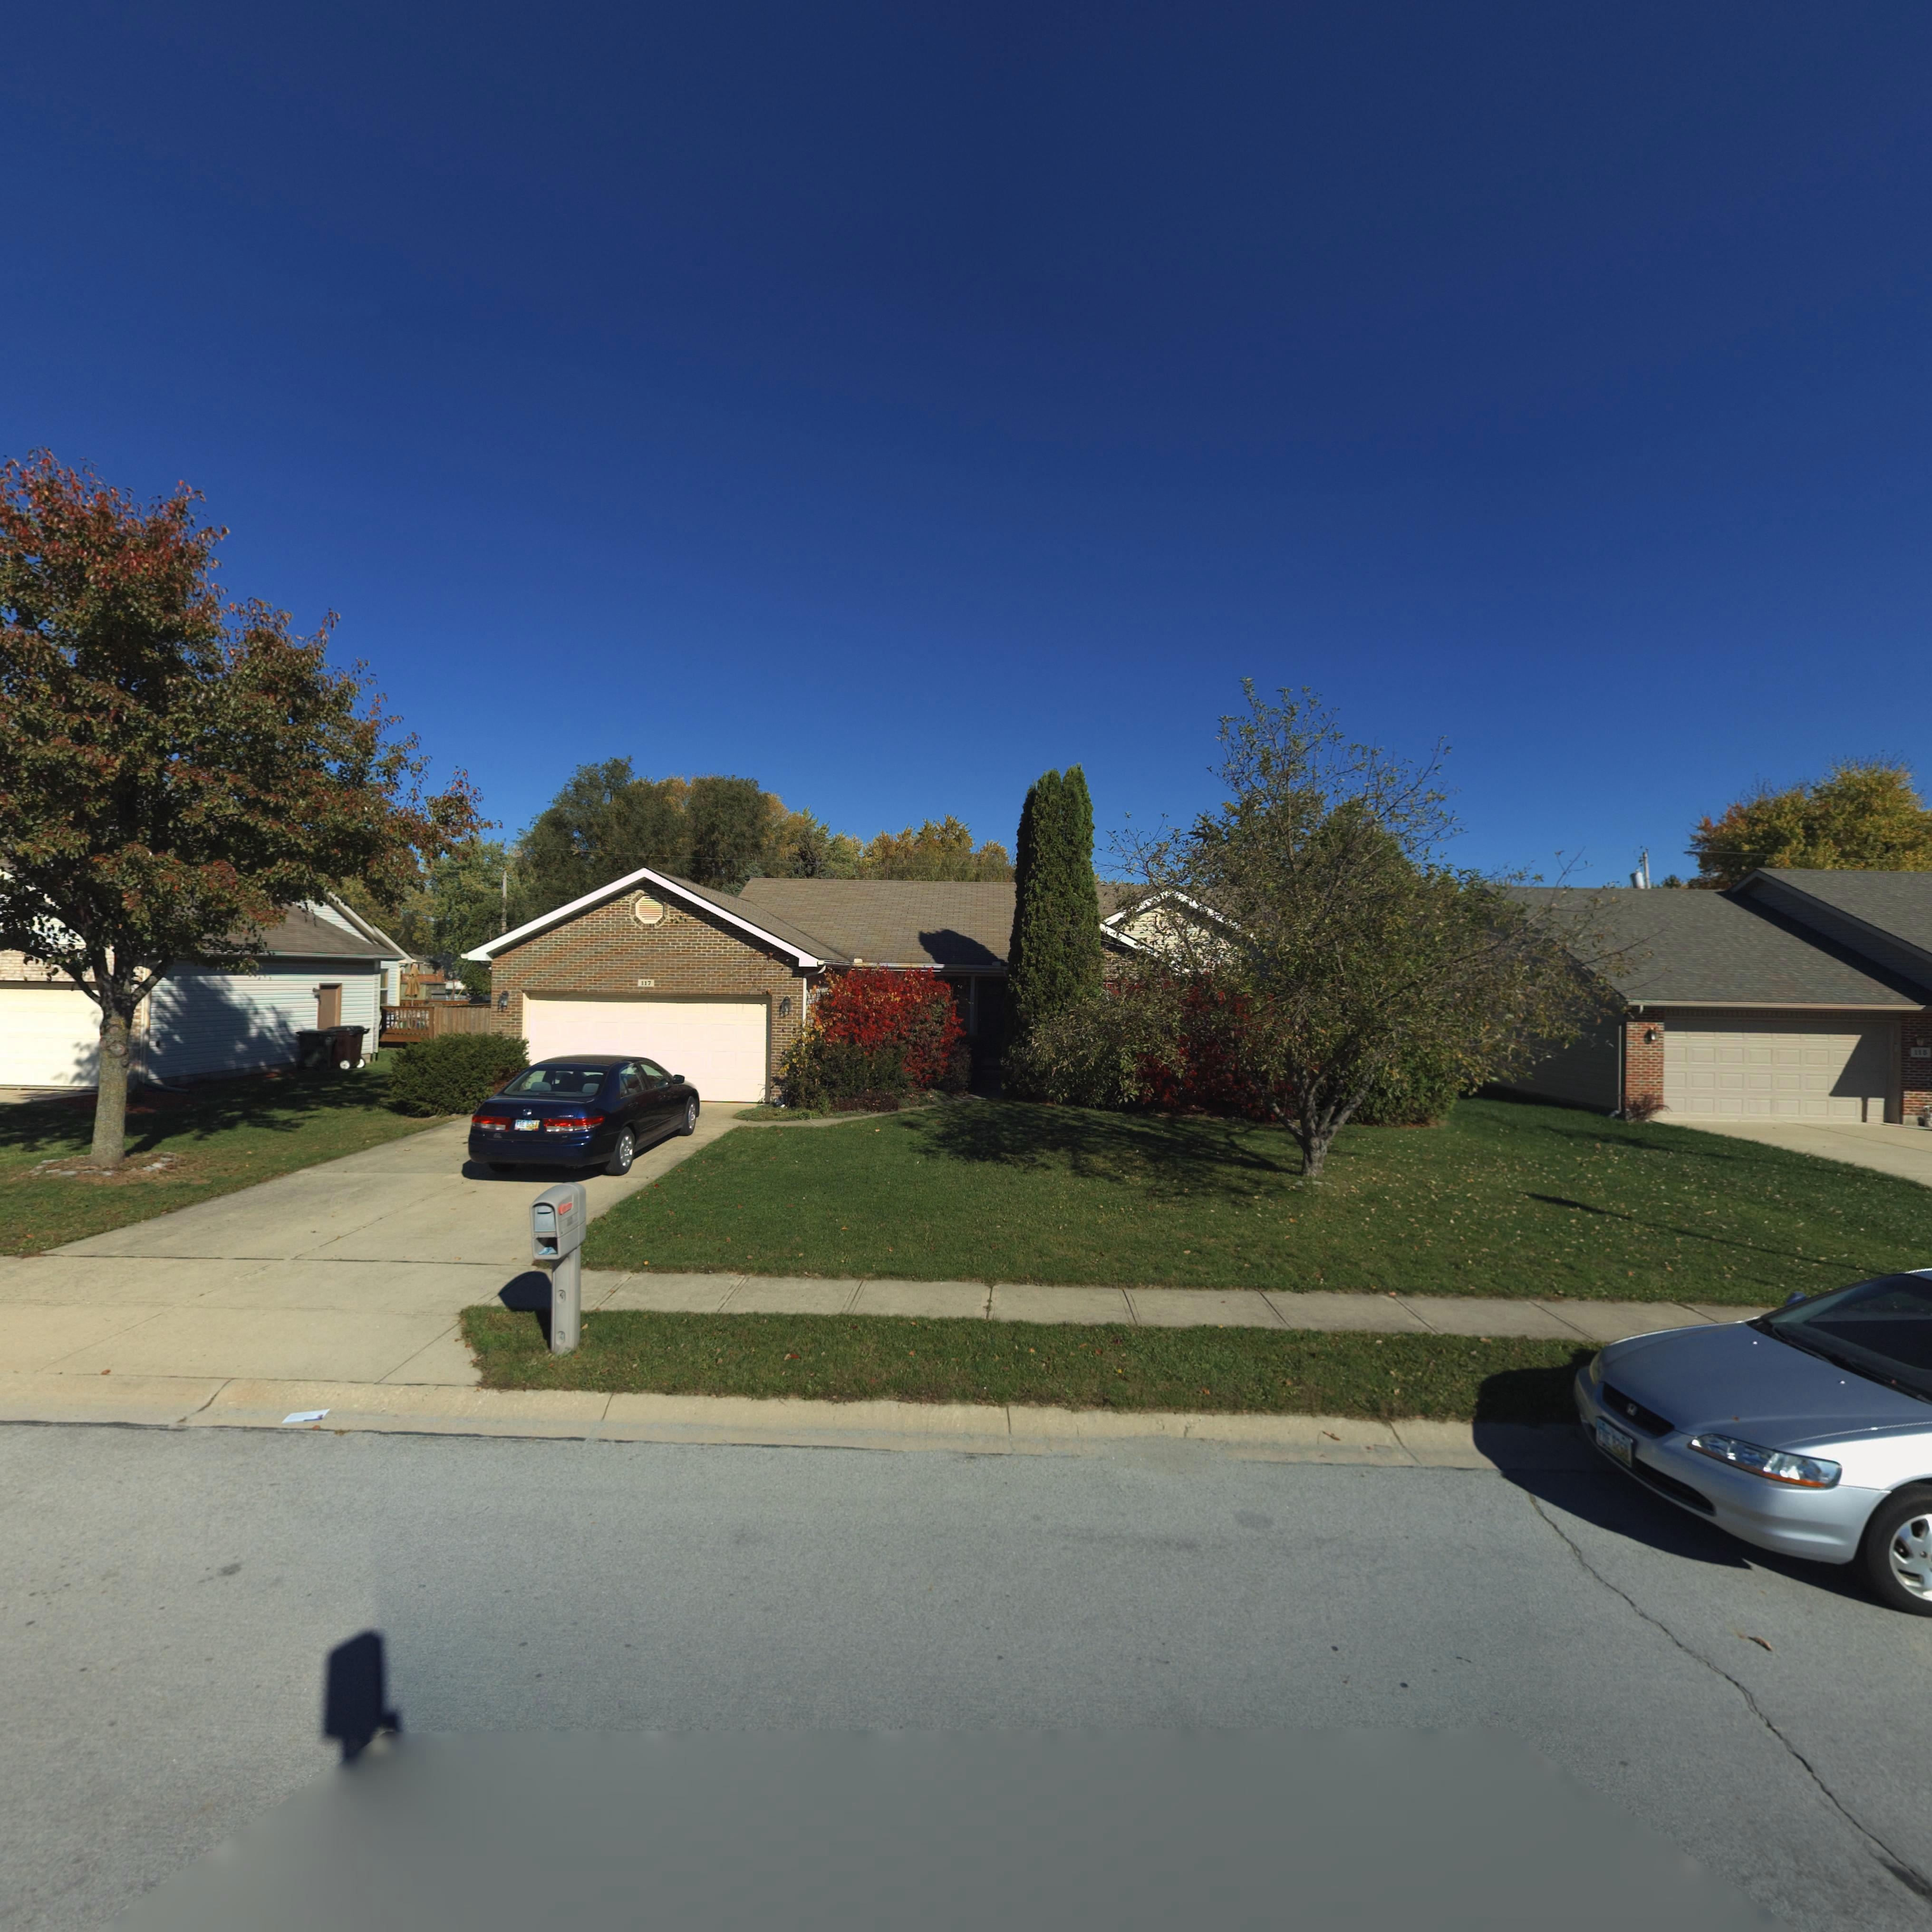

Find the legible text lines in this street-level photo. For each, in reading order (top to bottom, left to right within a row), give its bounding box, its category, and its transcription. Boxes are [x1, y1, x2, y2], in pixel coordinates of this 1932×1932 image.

[641, 980, 651, 986] StreetNumber: 117
[1913, 1049, 1927, 1055] StreetNumber: 11*
[515, 1119, 539, 1128] None: *** 8261